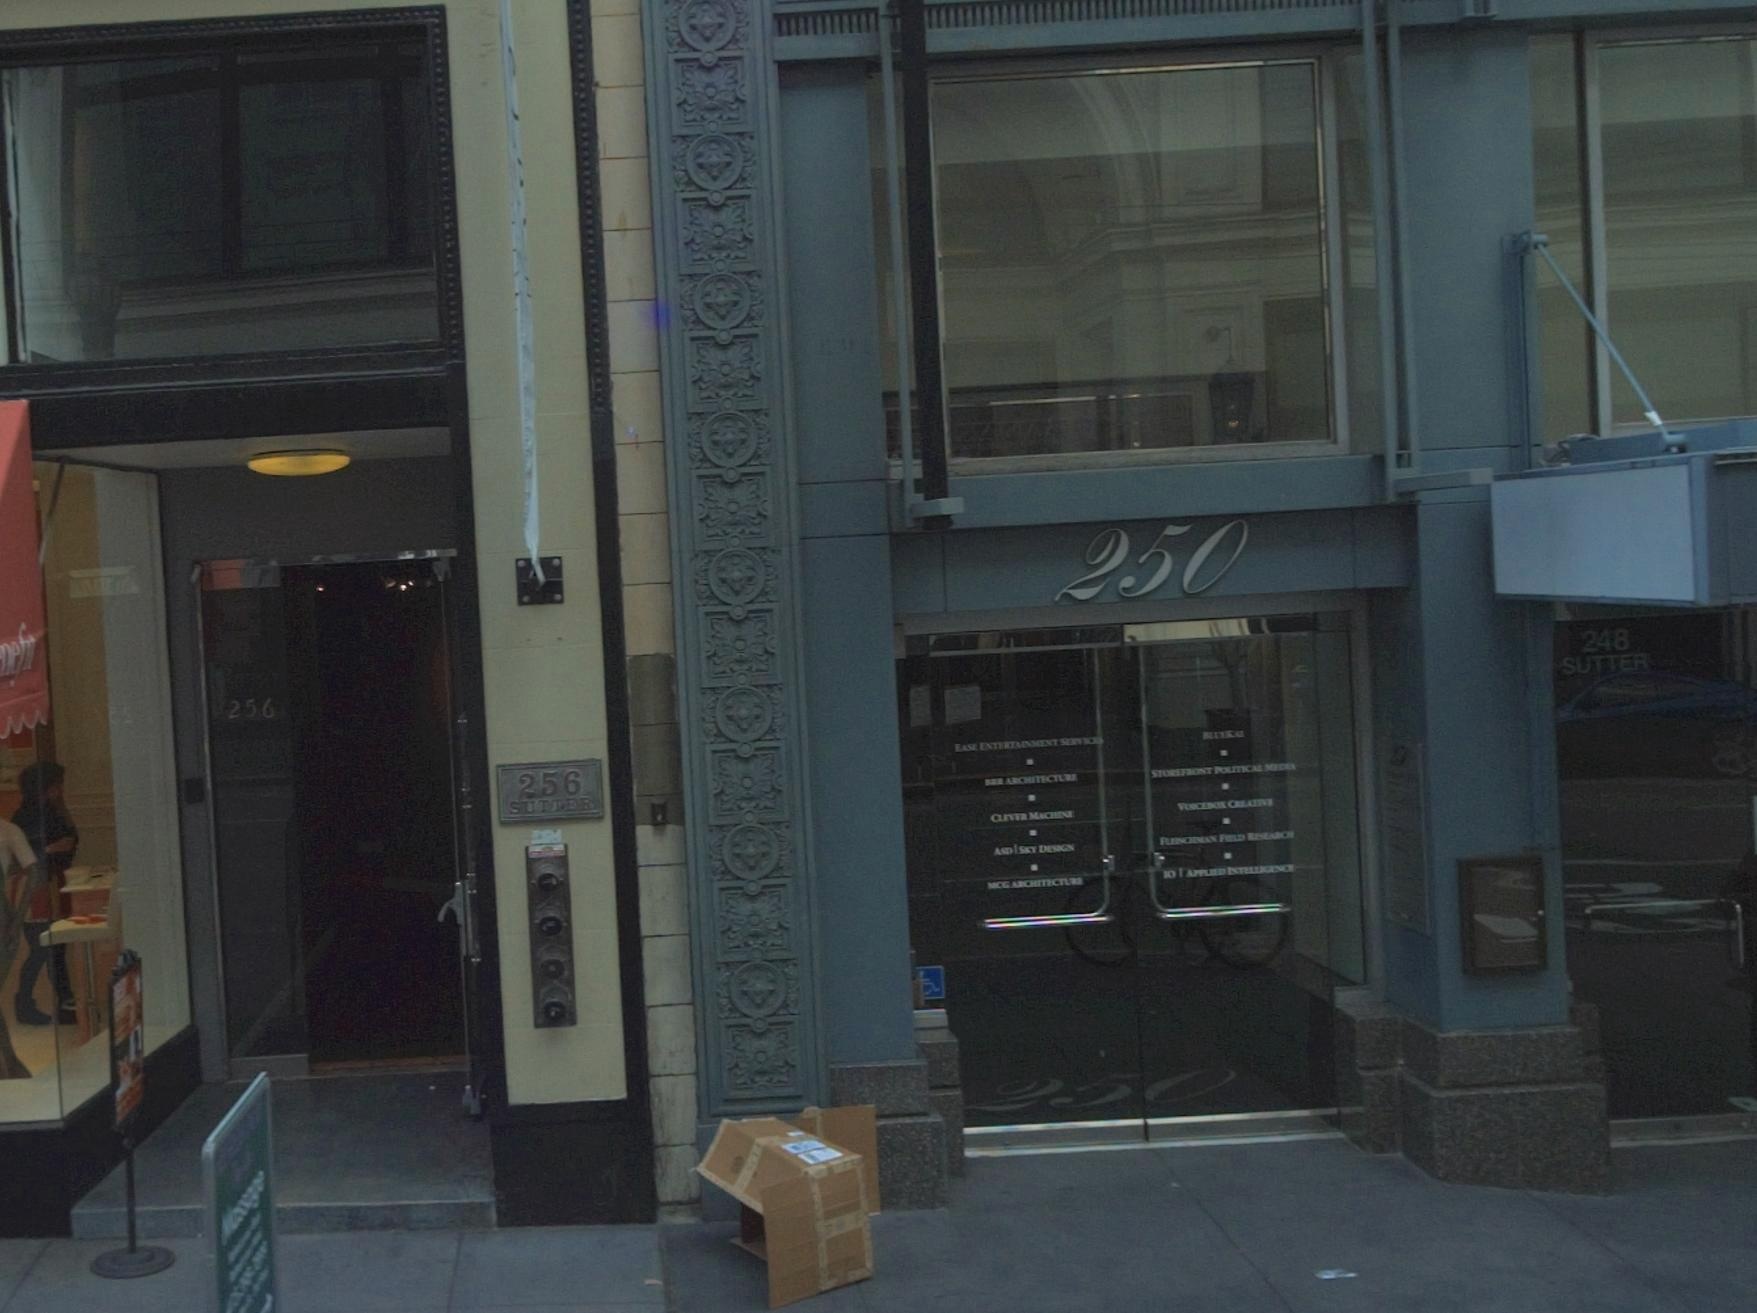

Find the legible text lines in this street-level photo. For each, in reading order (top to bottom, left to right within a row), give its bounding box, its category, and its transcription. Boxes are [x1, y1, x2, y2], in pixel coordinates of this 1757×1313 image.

[1038, 513, 1271, 612] StreetNumber: 250
[1577, 623, 1636, 658] StreetNumber: 248
[6, 634, 26, 681] None: e
[1557, 648, 1653, 681] StreetName: SUTTER
[221, 691, 281, 724] StreetNumber: 256
[952, 733, 1108, 755] None: EASE ENTERTAINMENT SC***CES
[514, 766, 587, 804] StreetNumber: 256
[1004, 771, 1080, 787] None: ARCHITECTURE
[1148, 760, 1300, 781] None: STO**F*ONT POLITICAL MED
[989, 807, 1076, 825] None: CLEVER MACHINE
[1174, 800, 1210, 813] None: Vo*CE
[1224, 795, 1276, 810] None: CREATIVE
[1156, 829, 1298, 848] None: LE*CHMAN FIELD RESEARCH
[991, 841, 1078, 858] None: ASD SKY DESIGN
[984, 875, 1085, 892] None: MCG ARCHITECTURE
[1165, 868, 1178, 881] None: O
[1184, 863, 1296, 879] None: APPLIED INTELLIG*NCE
[231, 1162, 270, 1228] None: ss*ge